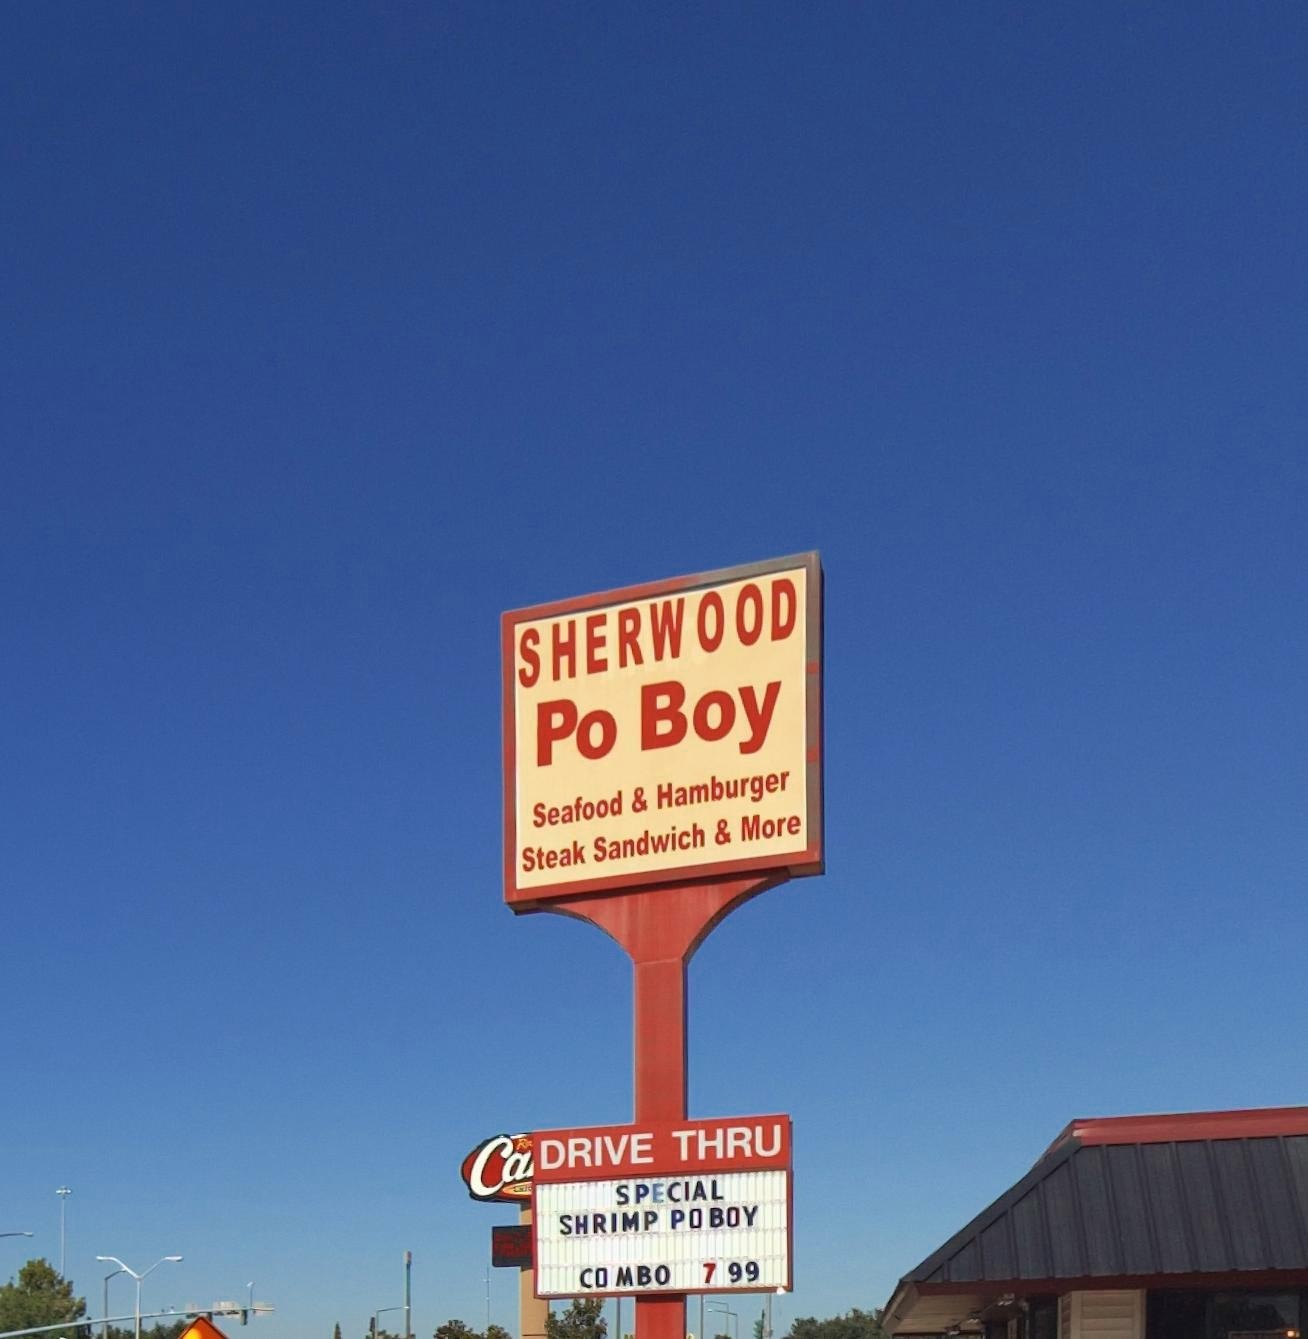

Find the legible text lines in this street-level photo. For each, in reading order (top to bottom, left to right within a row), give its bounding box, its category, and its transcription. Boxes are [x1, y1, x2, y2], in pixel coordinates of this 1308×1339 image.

[515, 573, 801, 697] BusinessName: SHERWOOD
[529, 674, 789, 776] BusinessName: Po Boy
[529, 766, 794, 835] None: Seafood & Hamburger 
[518, 810, 804, 876] None: Steak Sandwich & More
[465, 1130, 535, 1202] BusinessName: Ca
[556, 1202, 762, 1238] None: SHRIMP PO BOY
[537, 1120, 785, 1174] None: DRIVE THRU
[612, 1176, 726, 1209] None: SPECIAL
[573, 1257, 763, 1293] None: COMBO 7 99